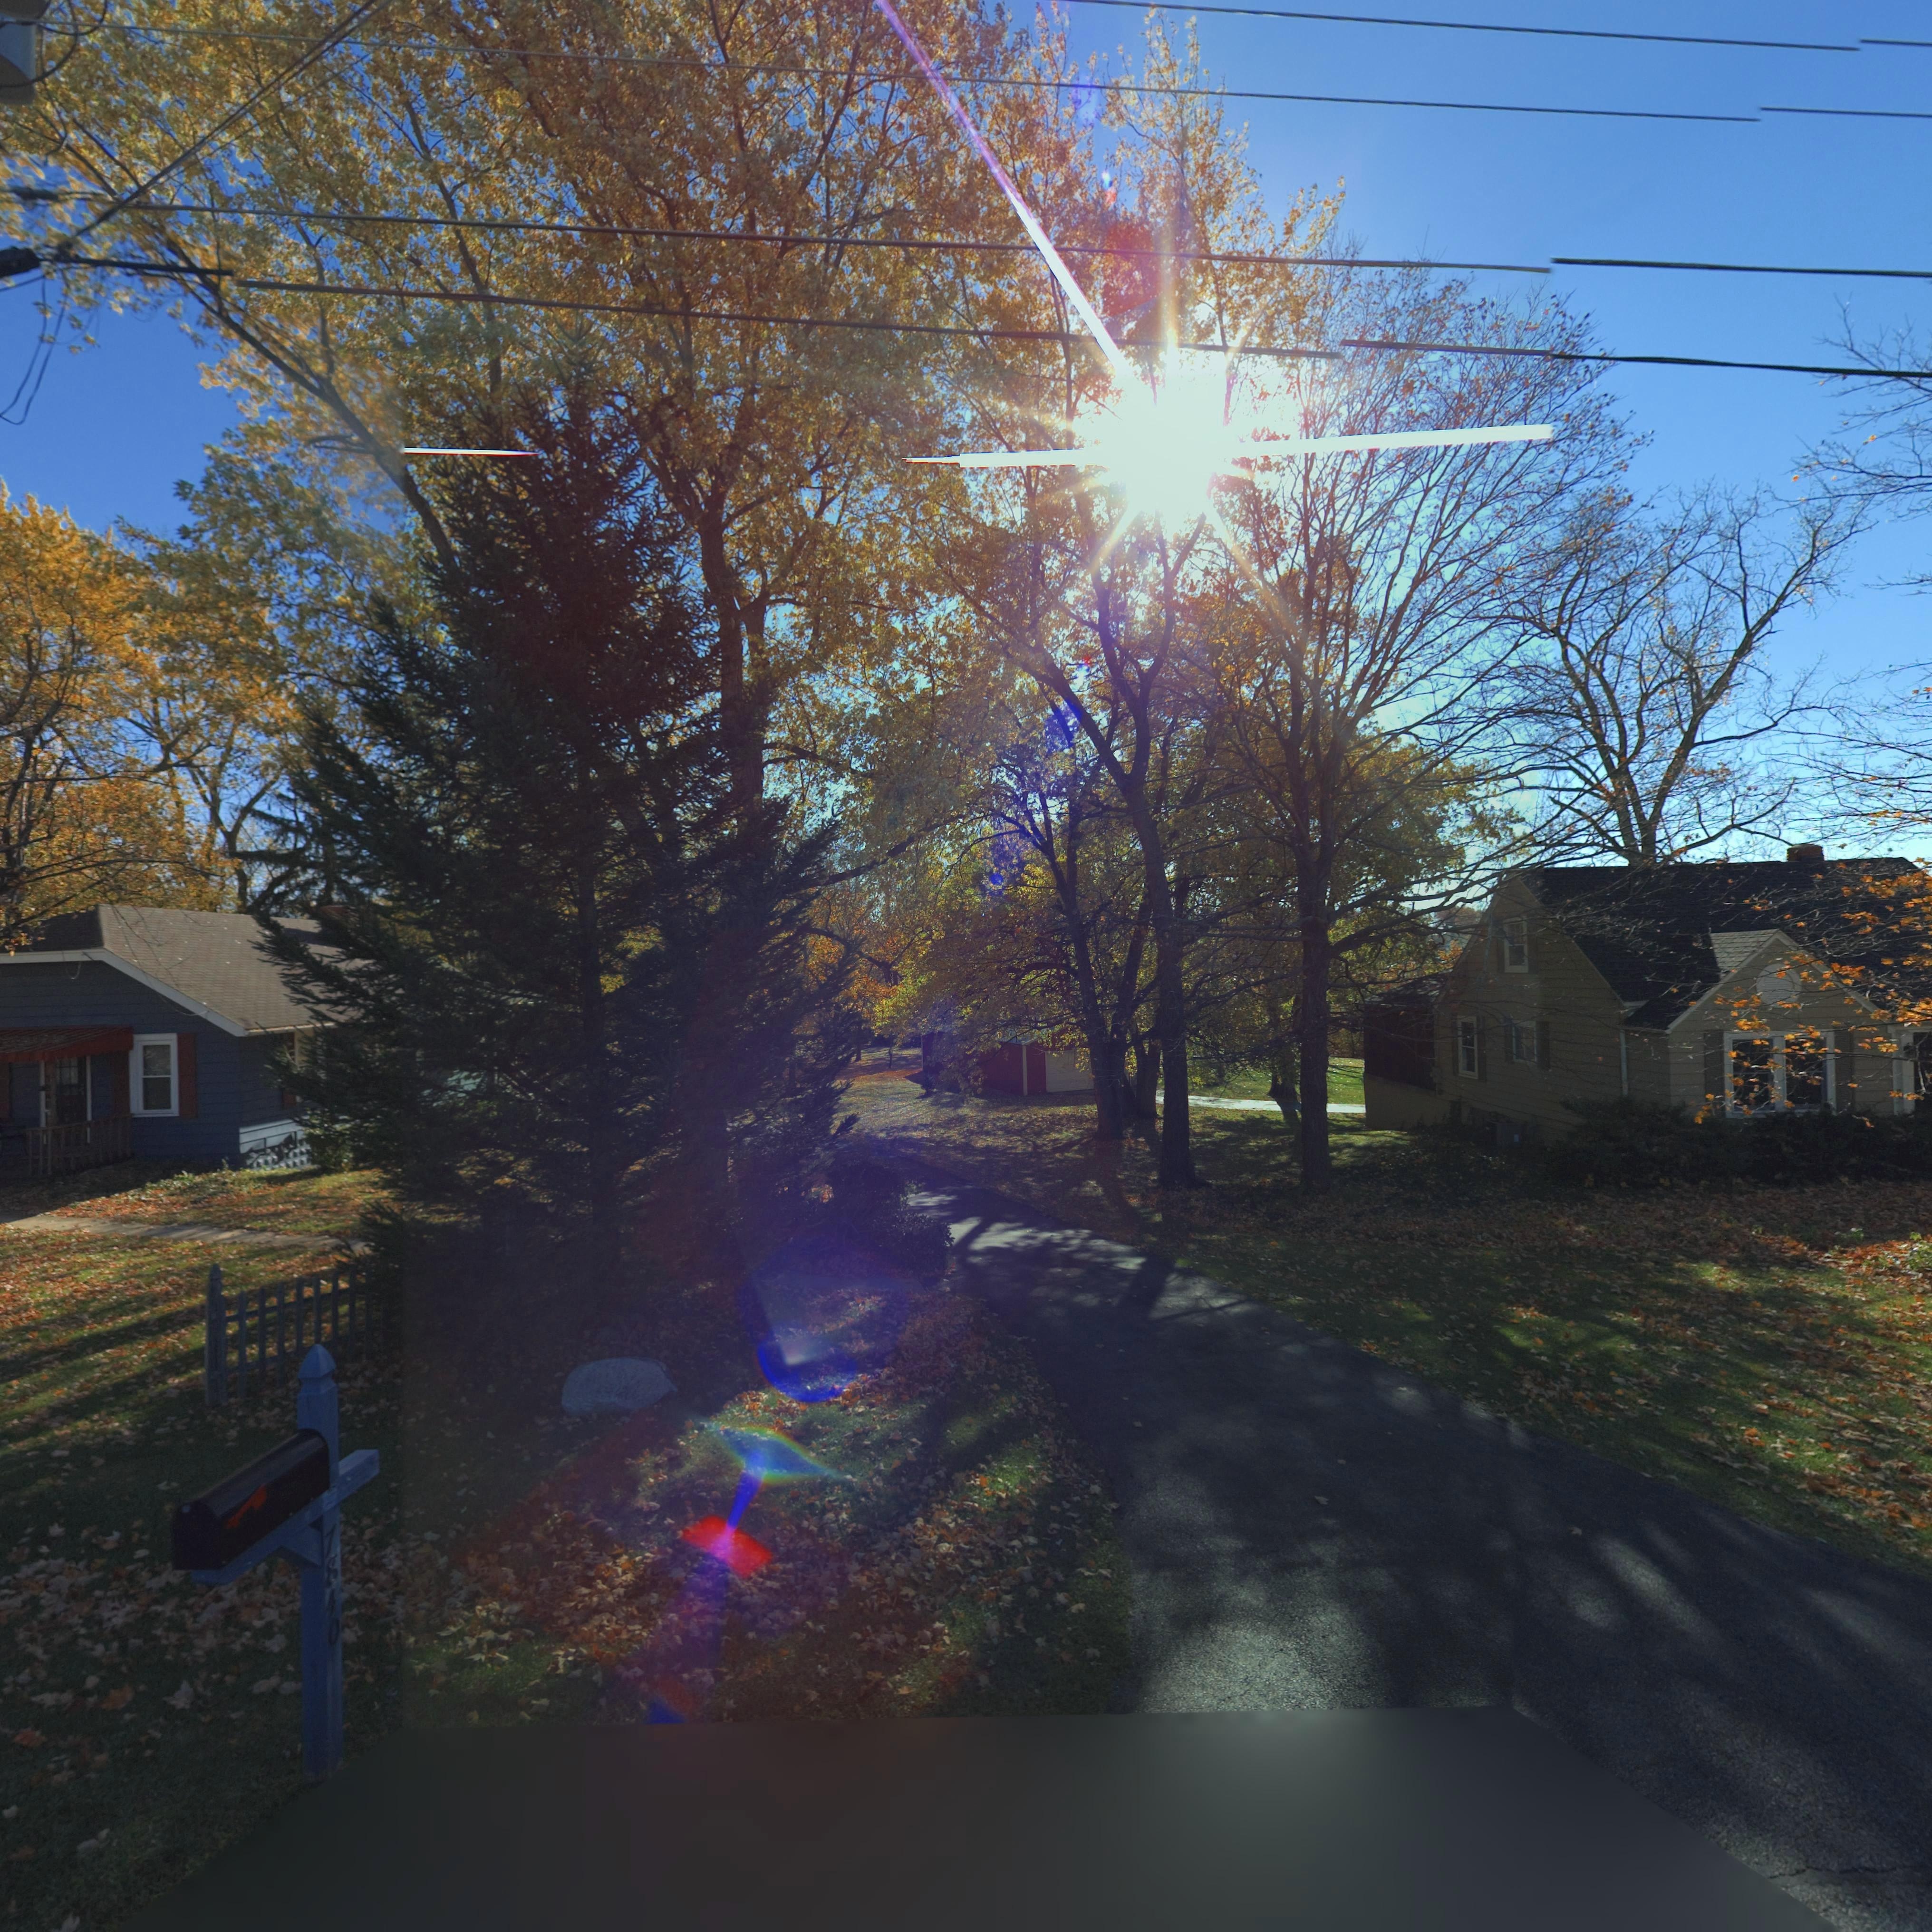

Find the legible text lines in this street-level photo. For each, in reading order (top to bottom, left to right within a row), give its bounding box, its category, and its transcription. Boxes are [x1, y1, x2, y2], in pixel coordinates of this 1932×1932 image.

[323, 1519, 341, 1649] StreetNumber: 7840